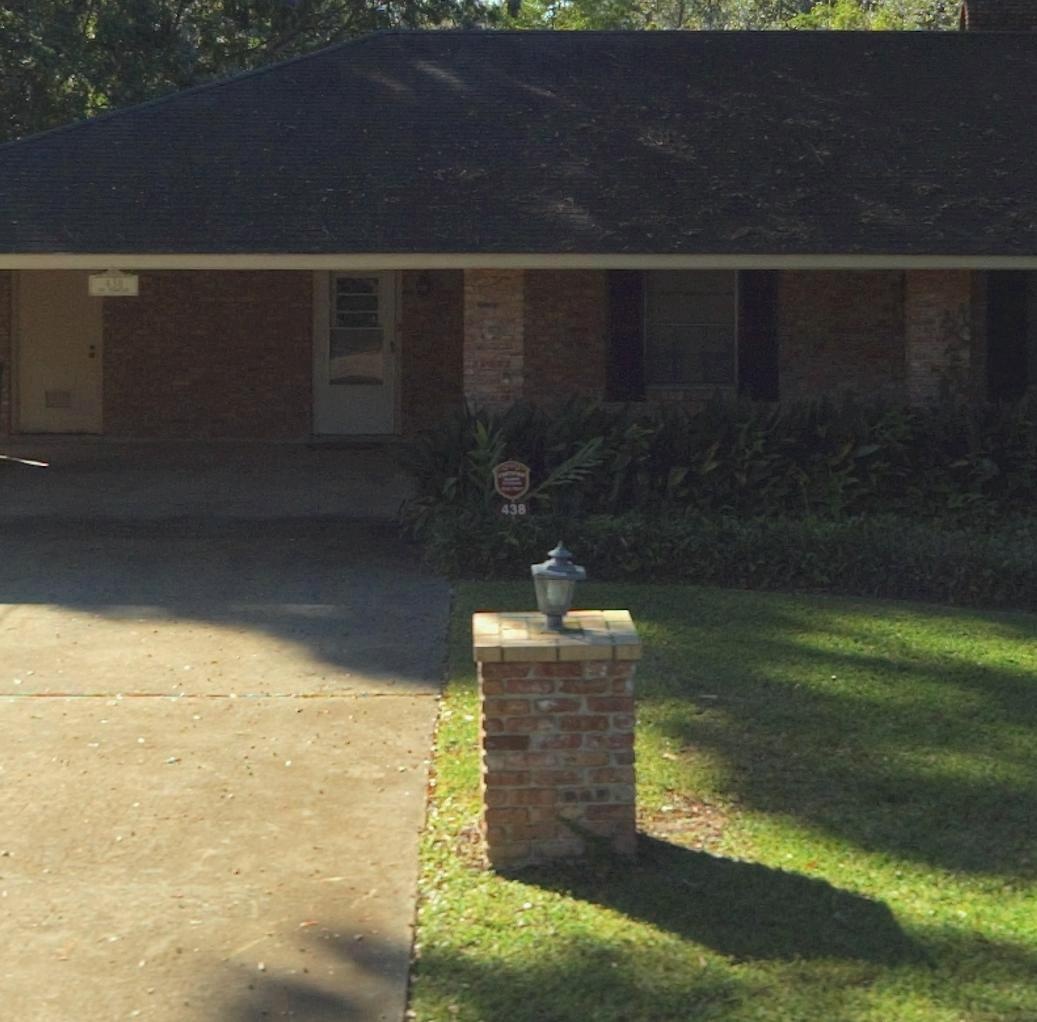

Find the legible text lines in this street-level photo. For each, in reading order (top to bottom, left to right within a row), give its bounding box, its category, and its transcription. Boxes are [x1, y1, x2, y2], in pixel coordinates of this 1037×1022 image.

[103, 278, 125, 289] StreetNumber: 438
[500, 503, 527, 516] StreetNumber: 438